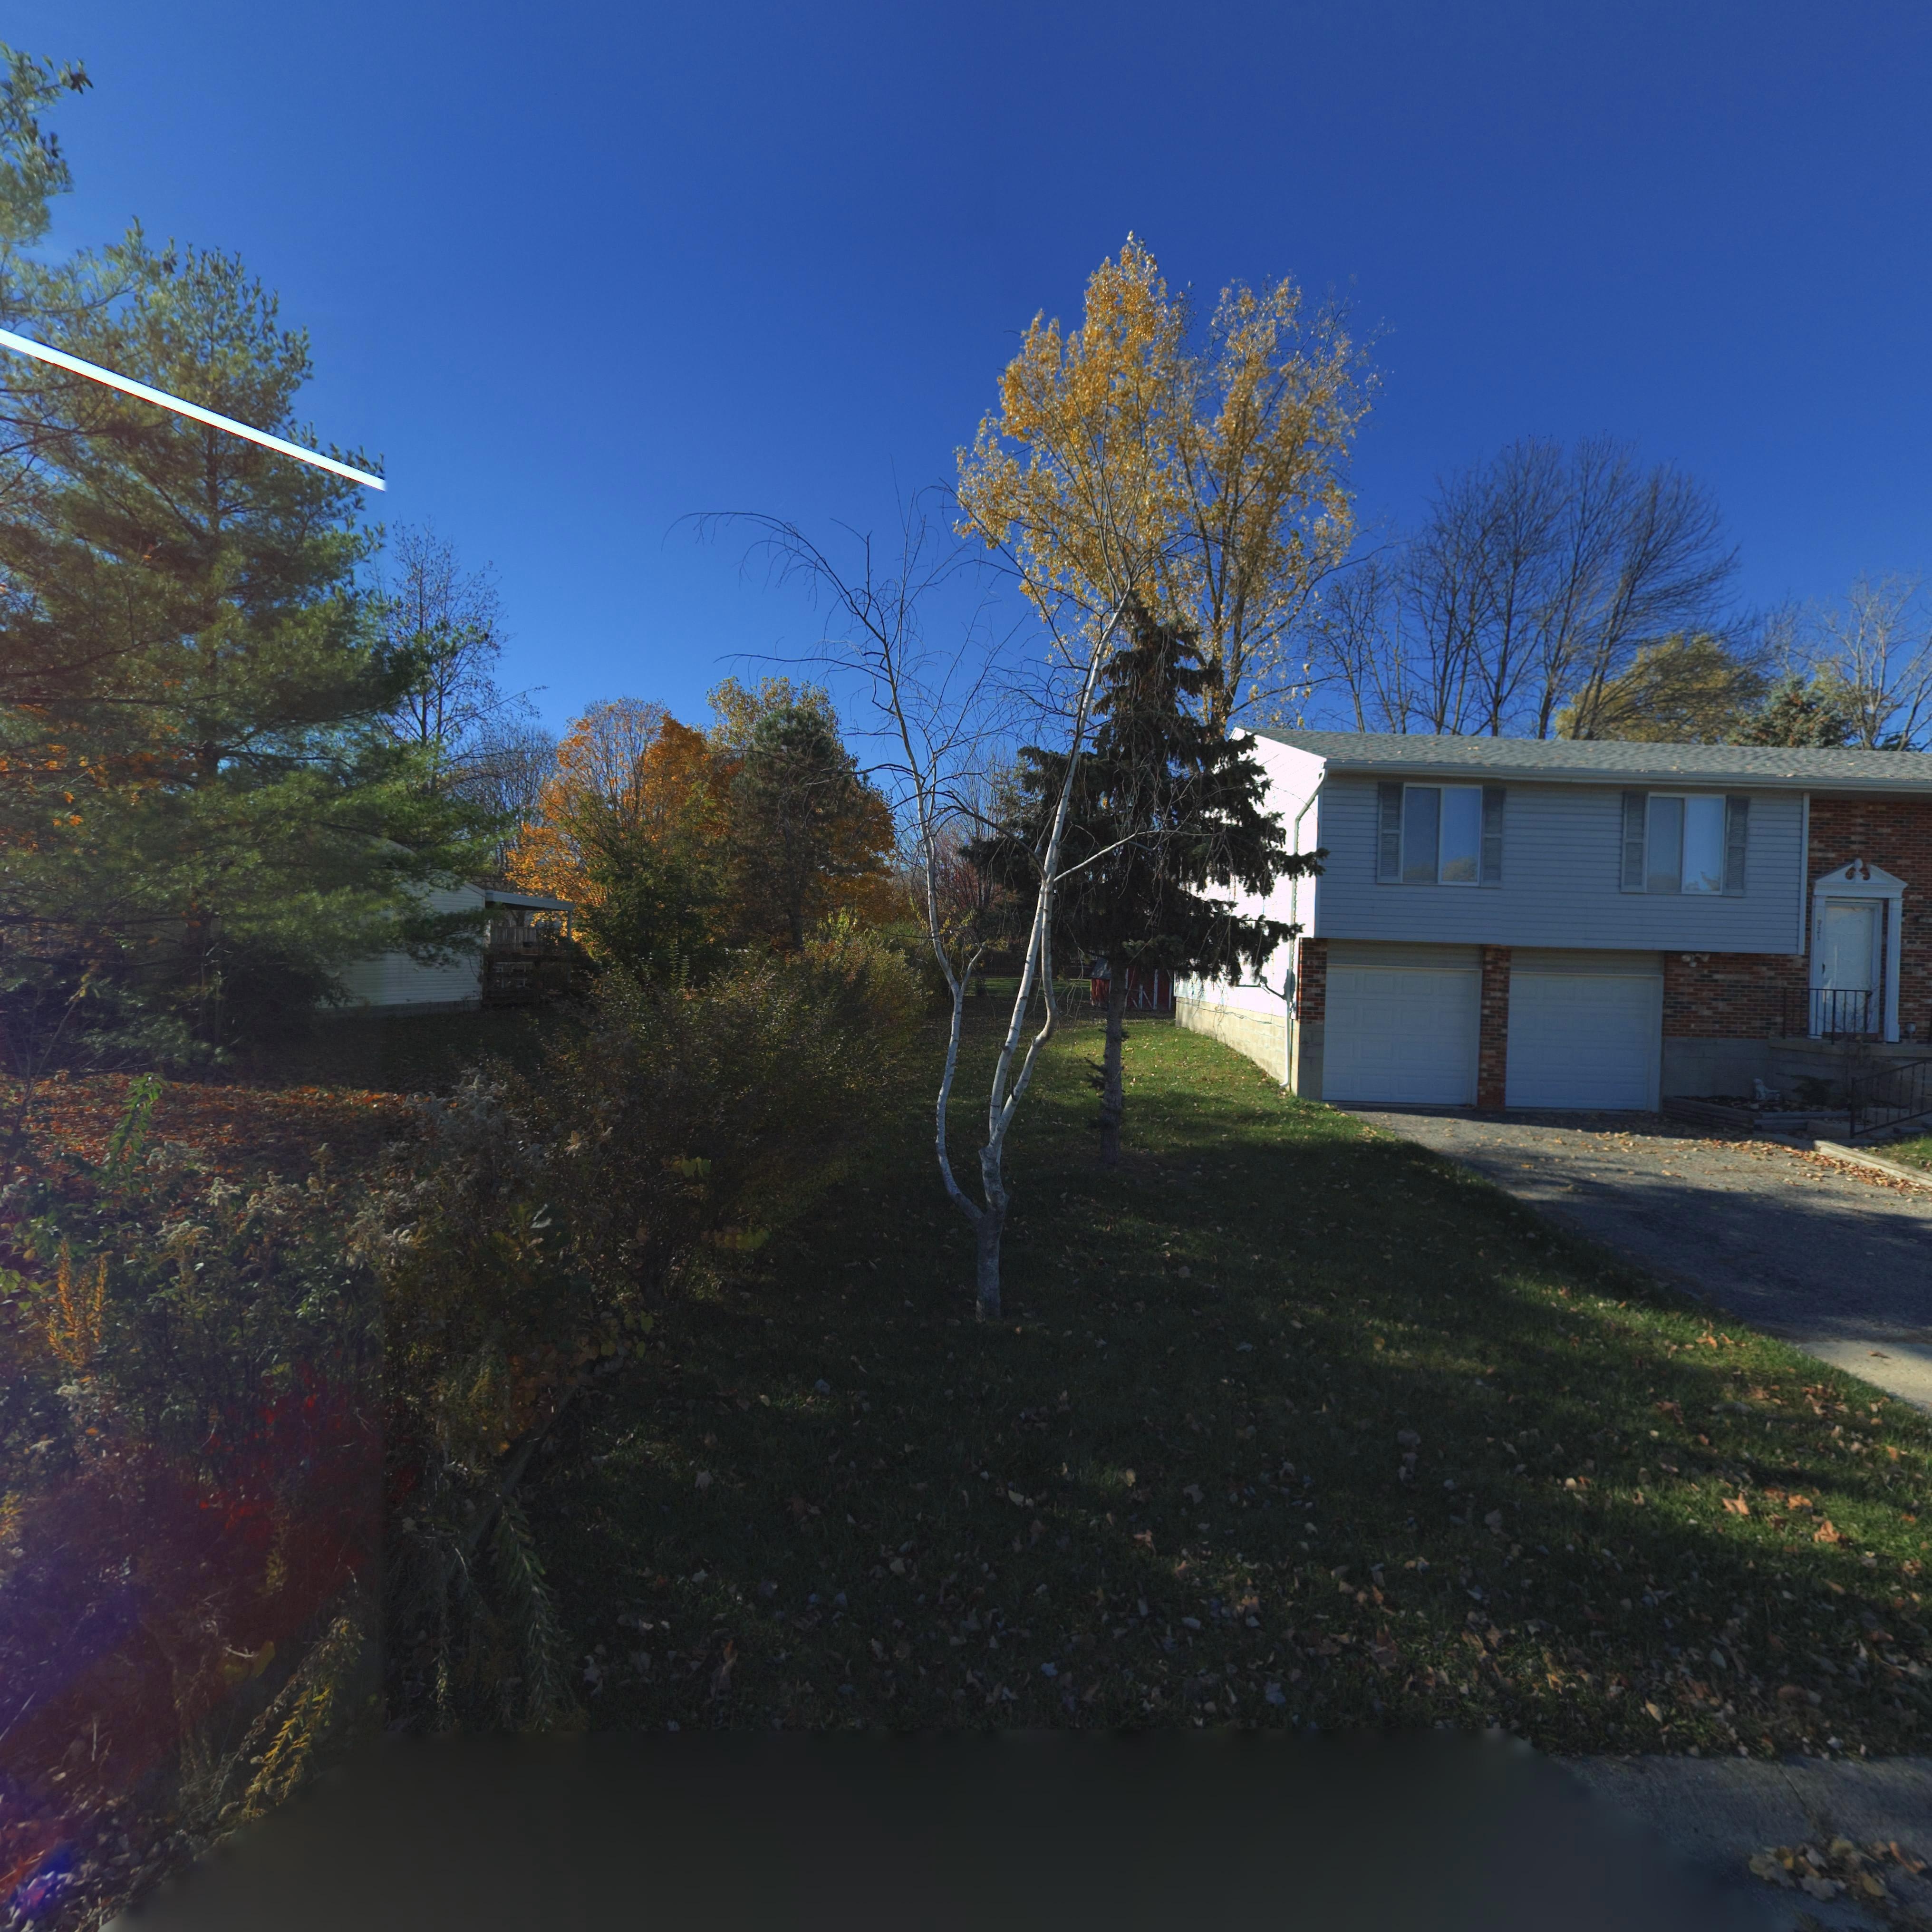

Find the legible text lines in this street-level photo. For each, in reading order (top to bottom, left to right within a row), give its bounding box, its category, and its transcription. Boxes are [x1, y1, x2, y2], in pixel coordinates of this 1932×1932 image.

[1815, 918, 1823, 942] StreetNumber: 921